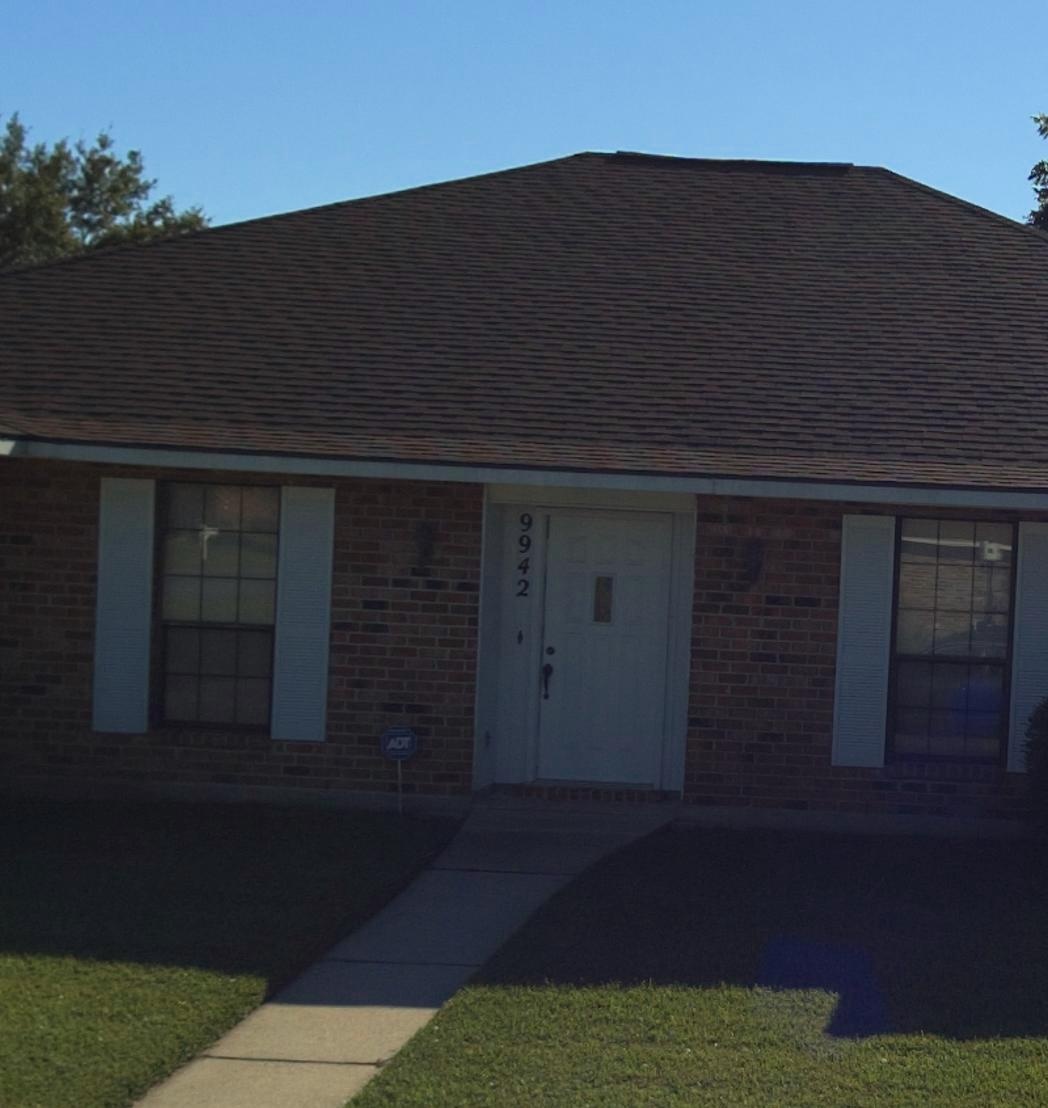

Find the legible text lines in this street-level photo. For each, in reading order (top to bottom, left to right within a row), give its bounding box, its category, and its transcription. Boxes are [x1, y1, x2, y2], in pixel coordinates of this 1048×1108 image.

[515, 512, 533, 598] StreetNumber: 9942
[386, 737, 411, 750] None: ADT